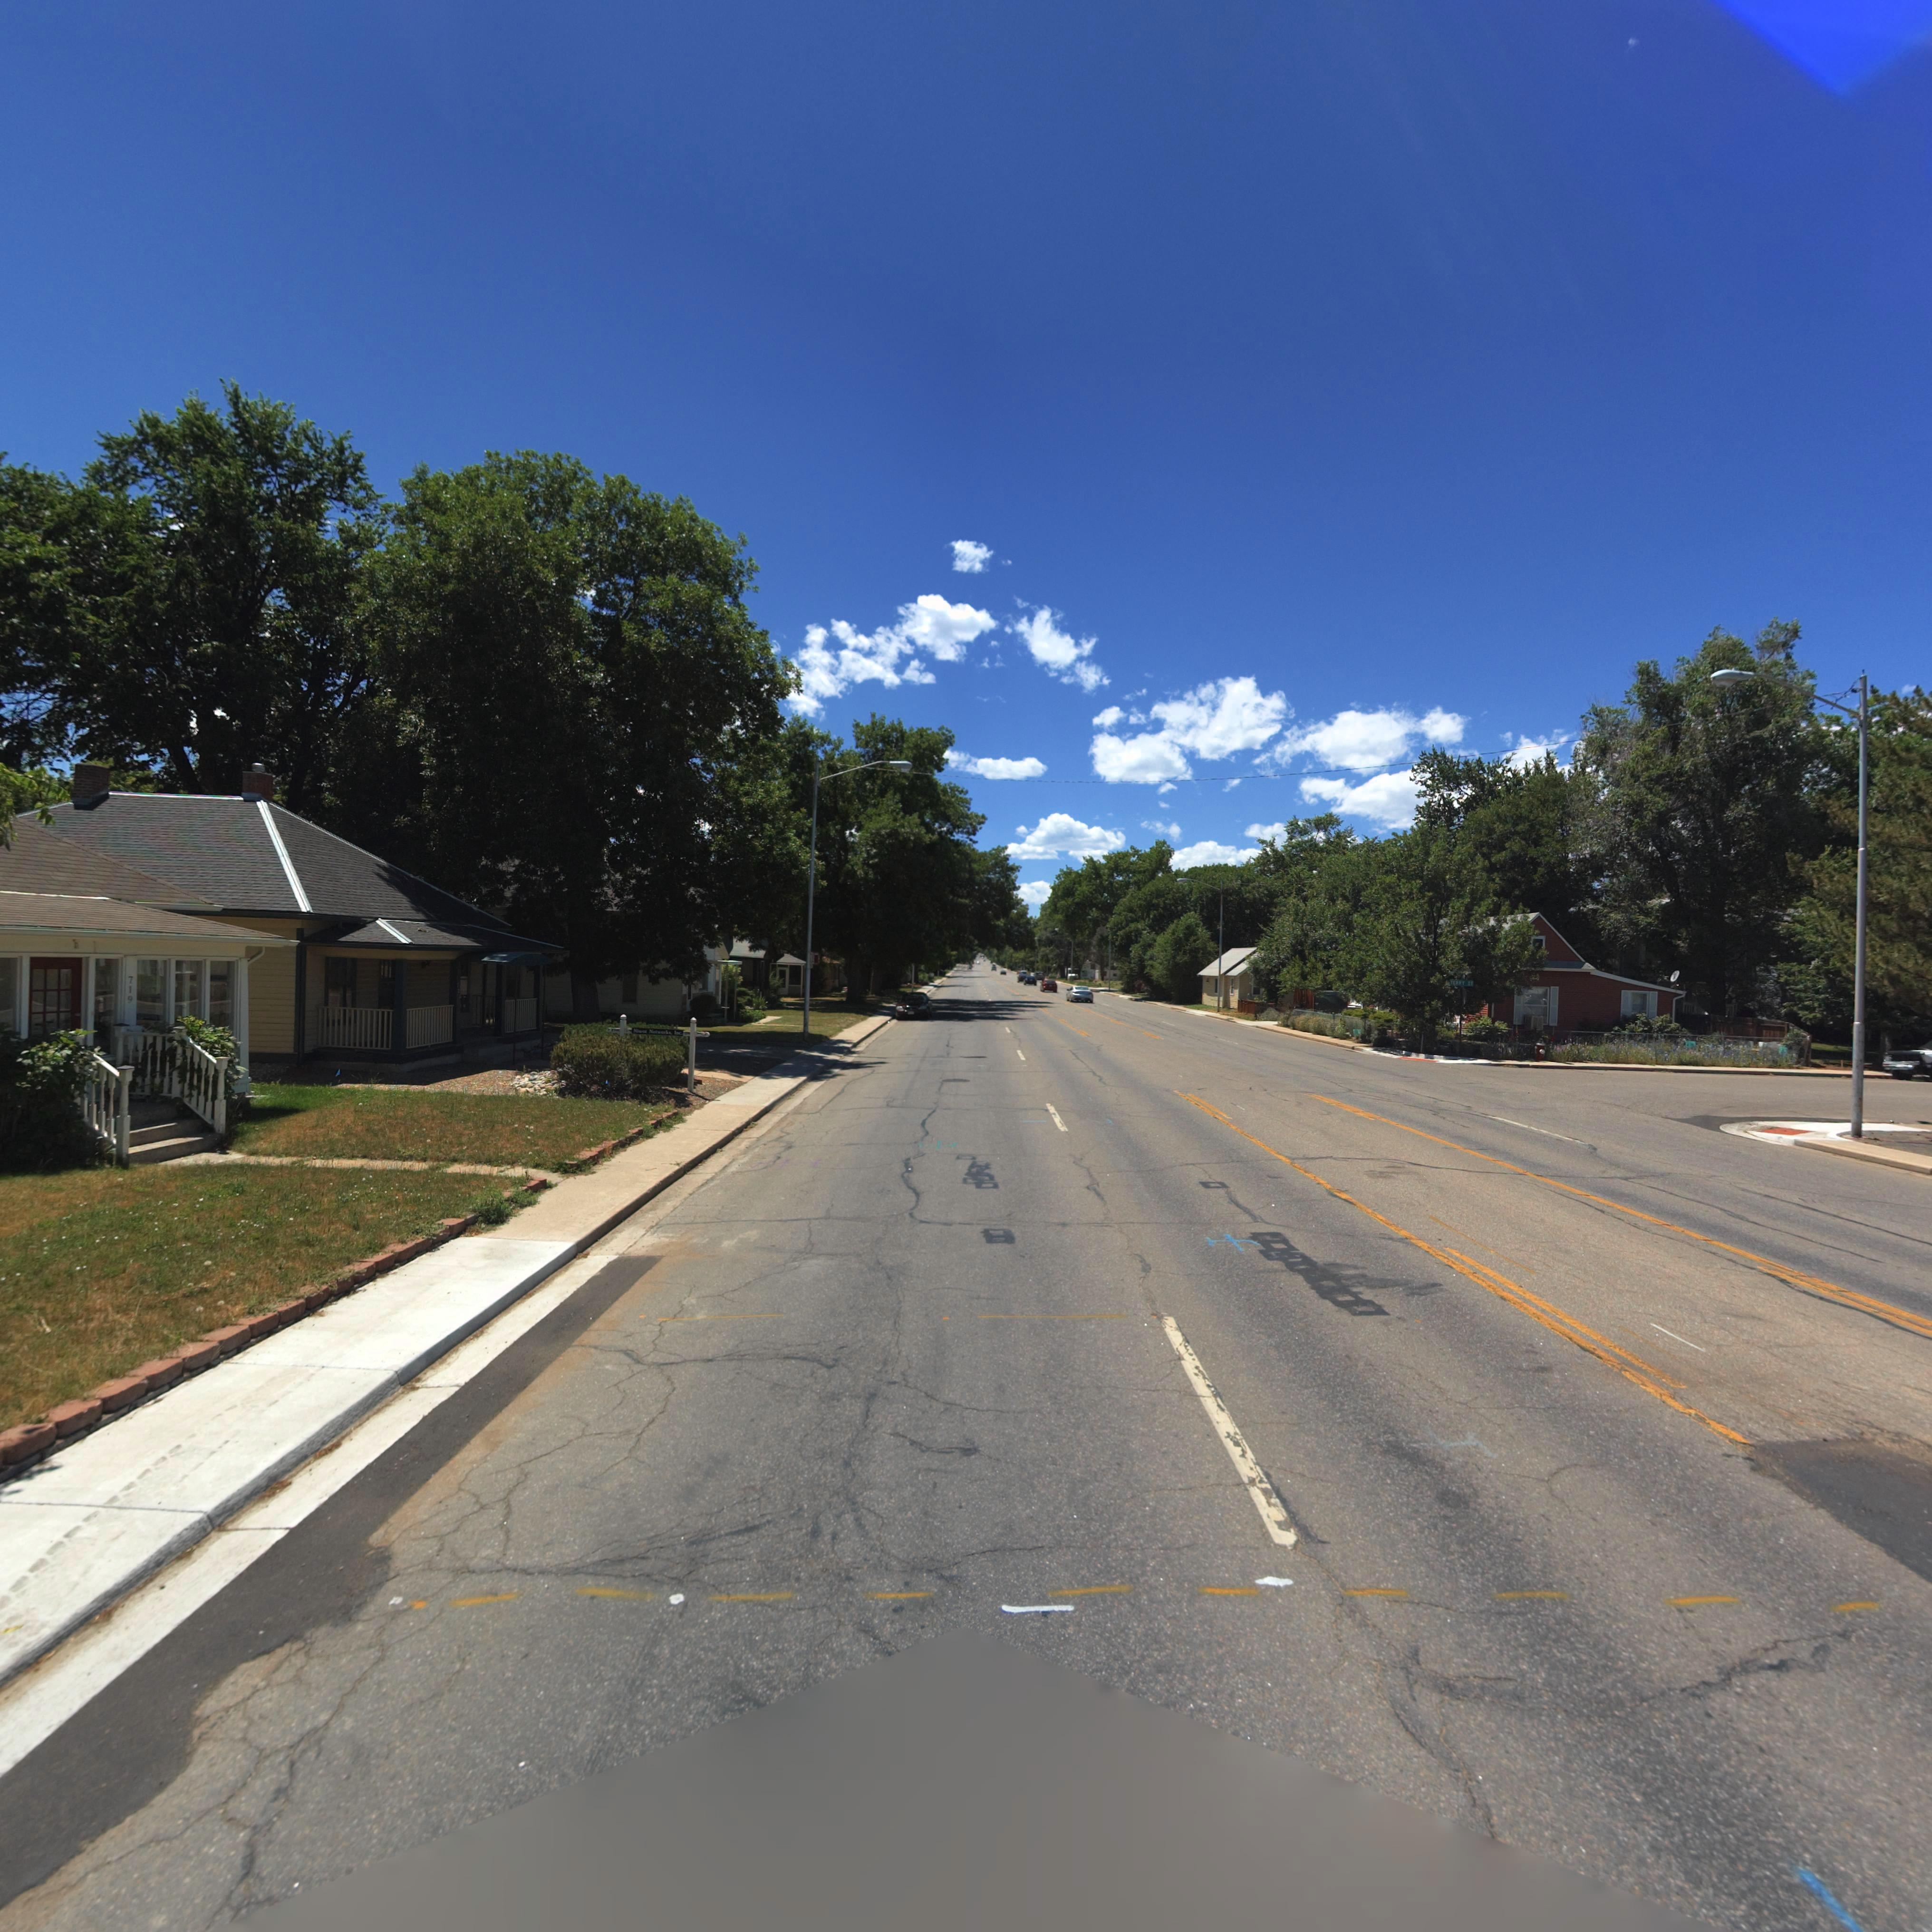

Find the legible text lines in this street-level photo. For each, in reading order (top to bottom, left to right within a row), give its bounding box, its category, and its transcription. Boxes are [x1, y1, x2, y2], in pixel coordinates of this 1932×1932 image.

[127, 976, 133, 1004] StreetNumber: 719
[456, 982, 461, 998] StreetNumber: 72*
[1450, 980, 1473, 985] StreetName: T*RRY ST
[633, 1028, 683, 1035] BusinessName: Niwot Networks, Inc.